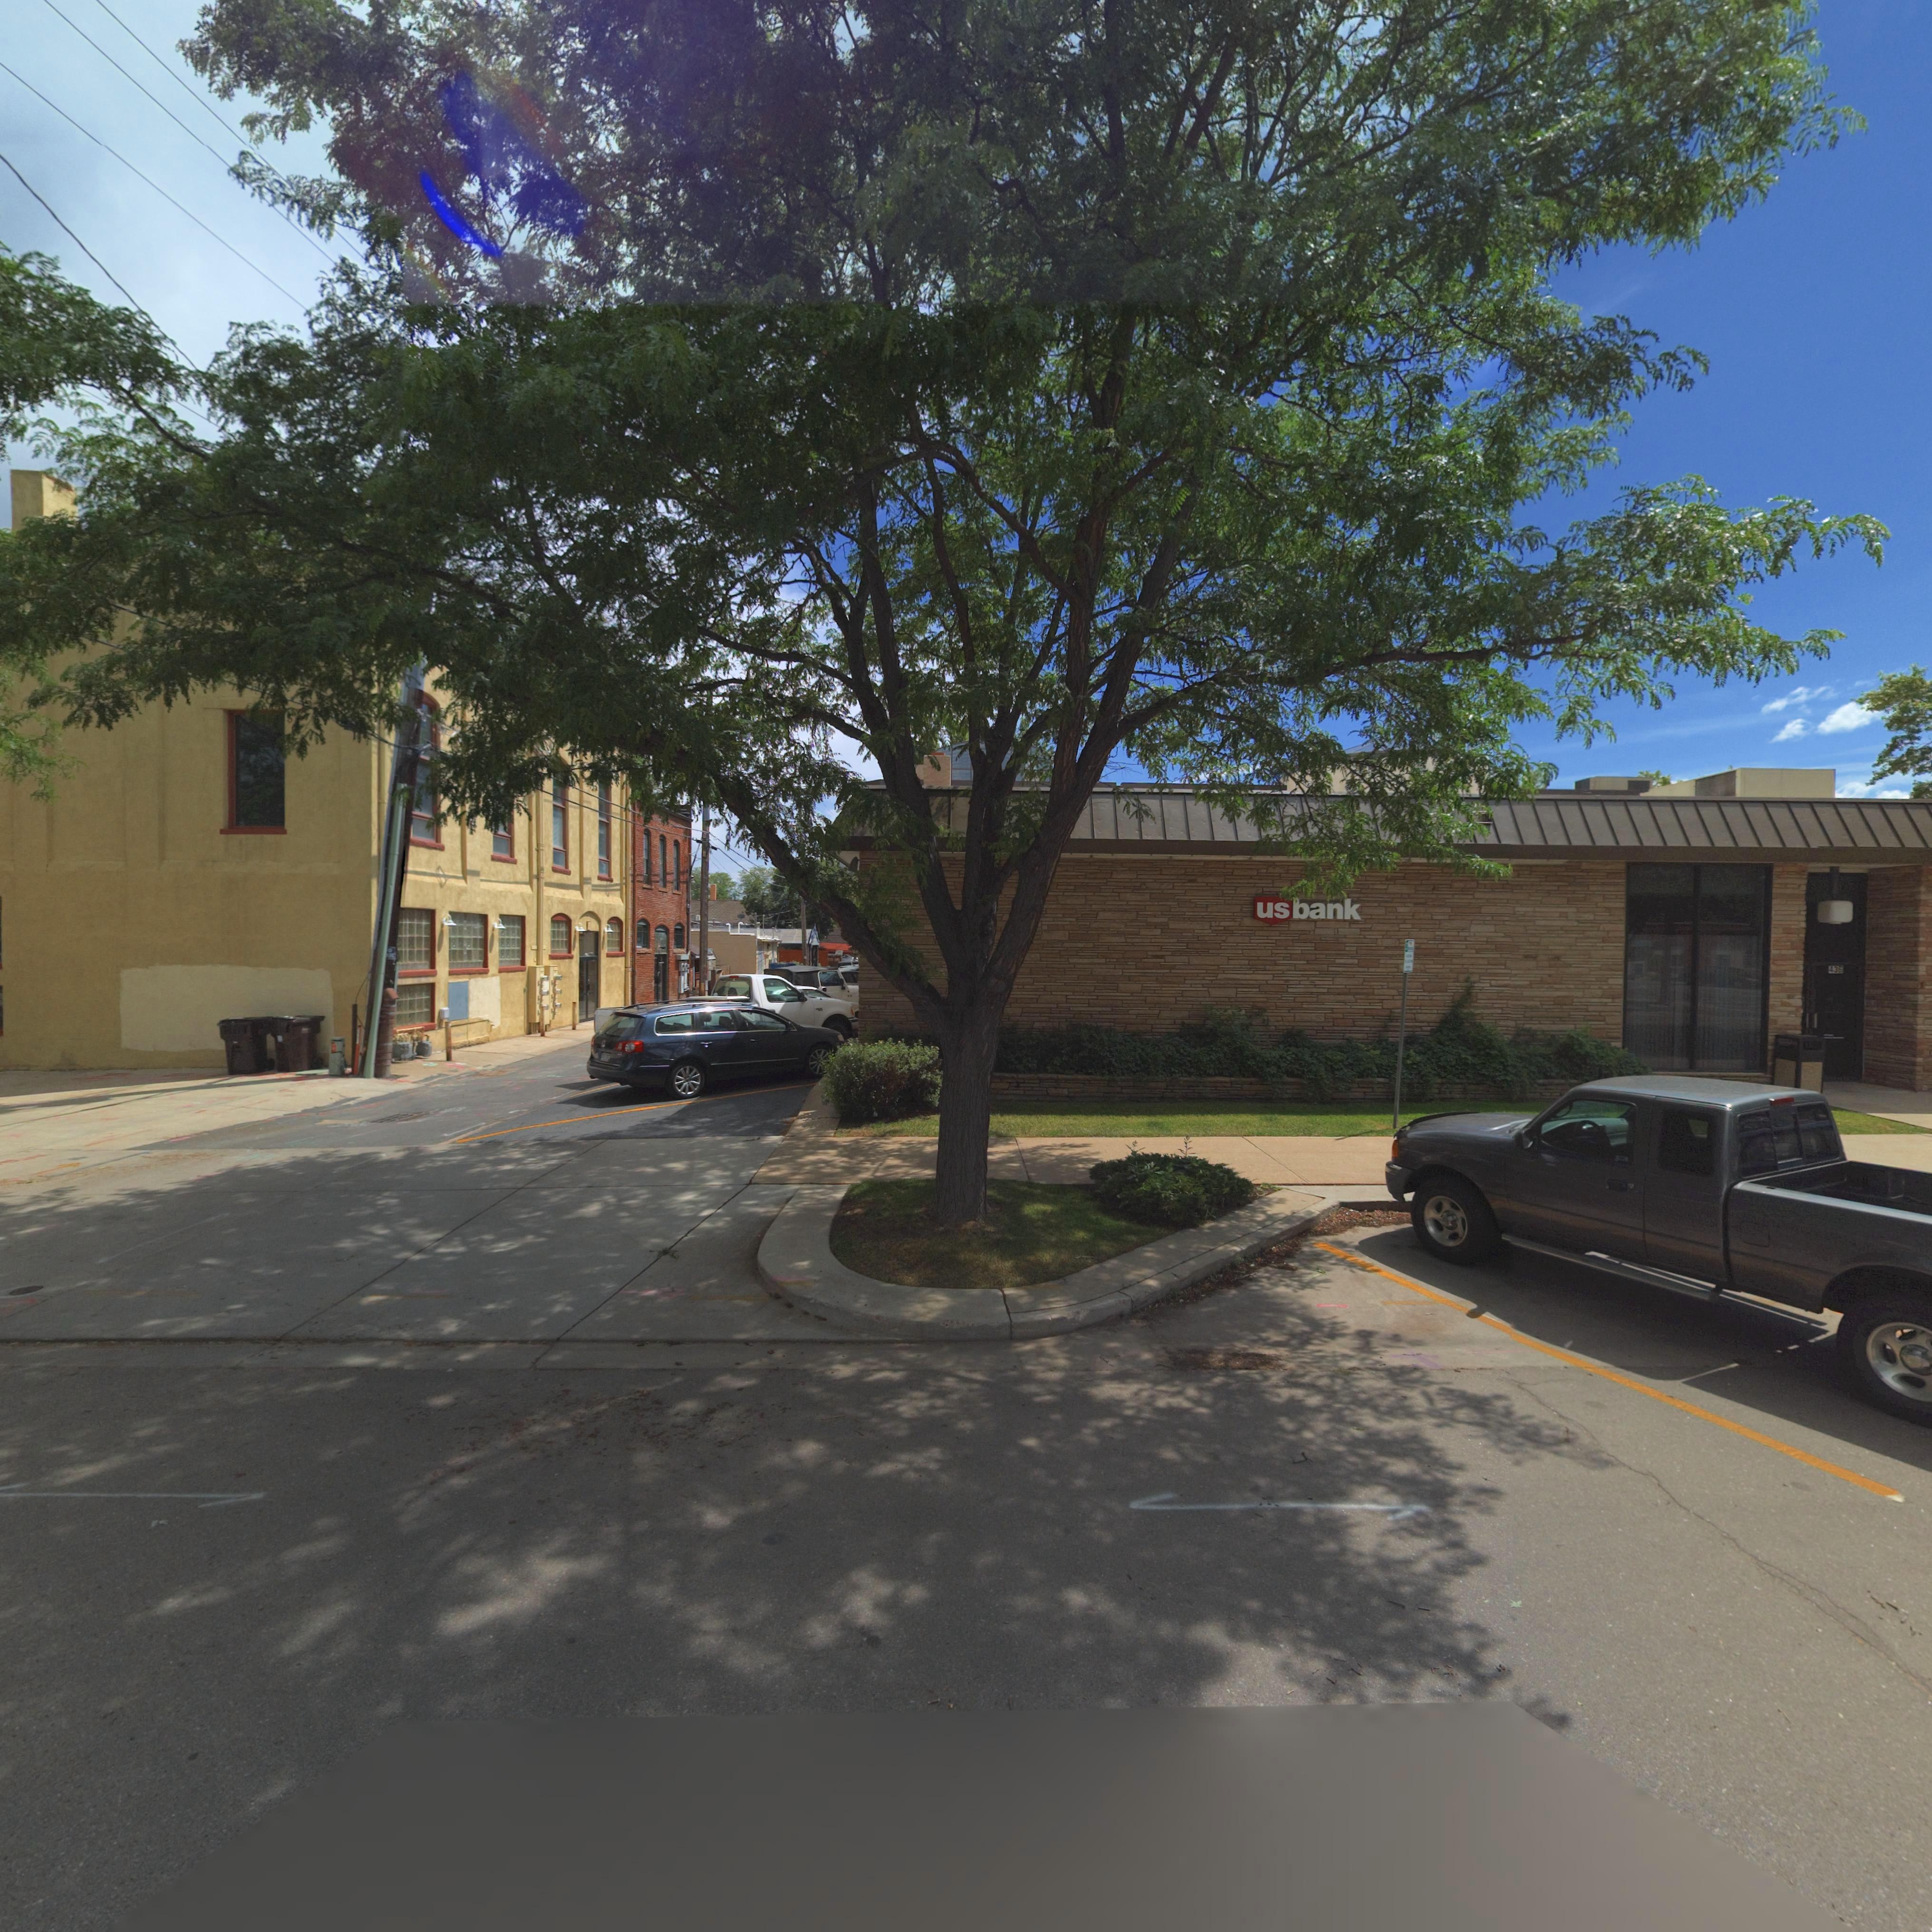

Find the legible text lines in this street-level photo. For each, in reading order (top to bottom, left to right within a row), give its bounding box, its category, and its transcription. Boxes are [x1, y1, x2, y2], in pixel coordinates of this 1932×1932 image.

[1256, 897, 1362, 920] BusinessName: usbank
[1827, 966, 1843, 973] StreetNumber: 436